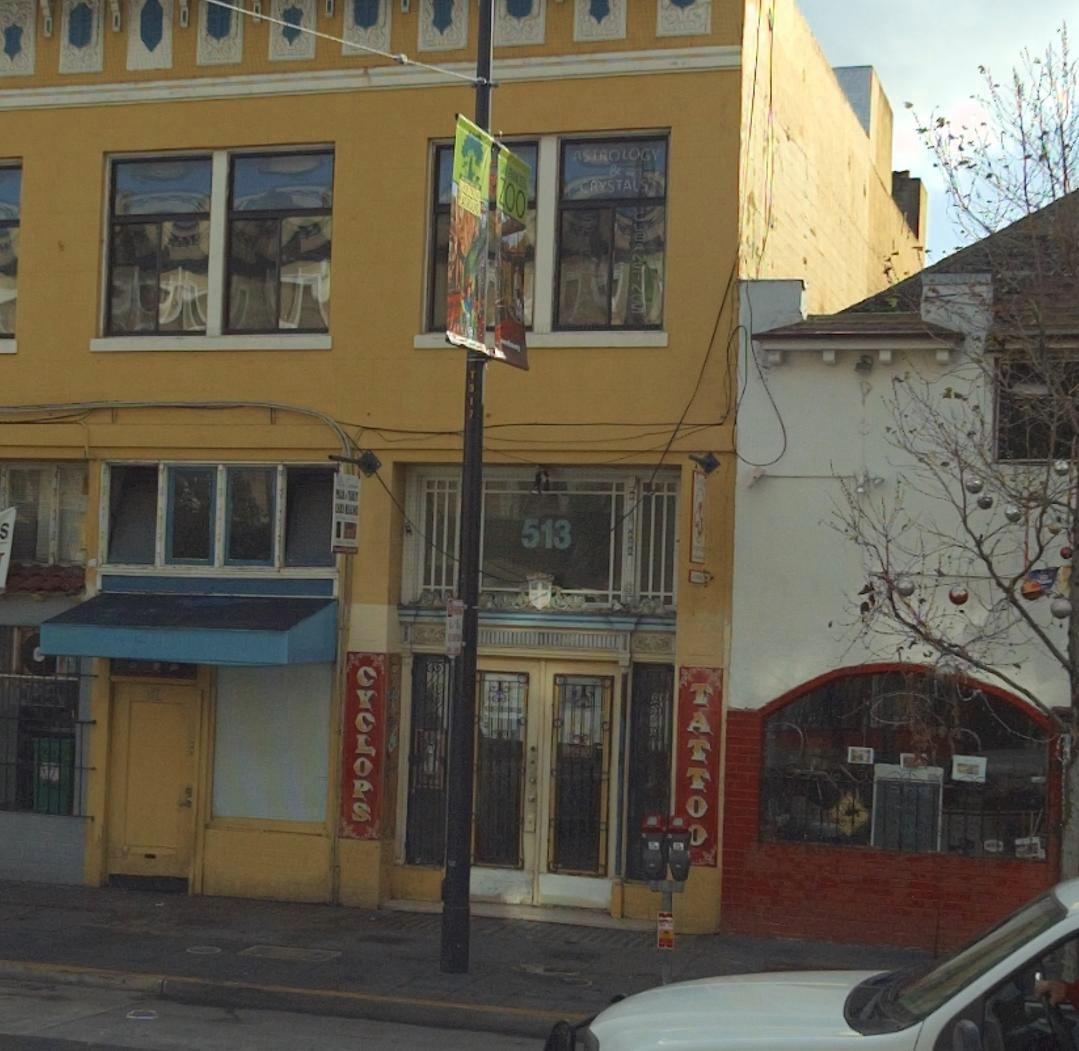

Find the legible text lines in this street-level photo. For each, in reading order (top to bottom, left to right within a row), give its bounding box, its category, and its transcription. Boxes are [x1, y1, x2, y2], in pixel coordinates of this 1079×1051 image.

[572, 147, 661, 163] None: ASTROLOGY
[497, 175, 526, 222] None: ZOO
[578, 178, 649, 194] None: CRYSTALS
[521, 518, 572, 551] StreetNumber: 513
[350, 665, 379, 824] None: CYCLOPS
[685, 681, 713, 820] None: TATTO